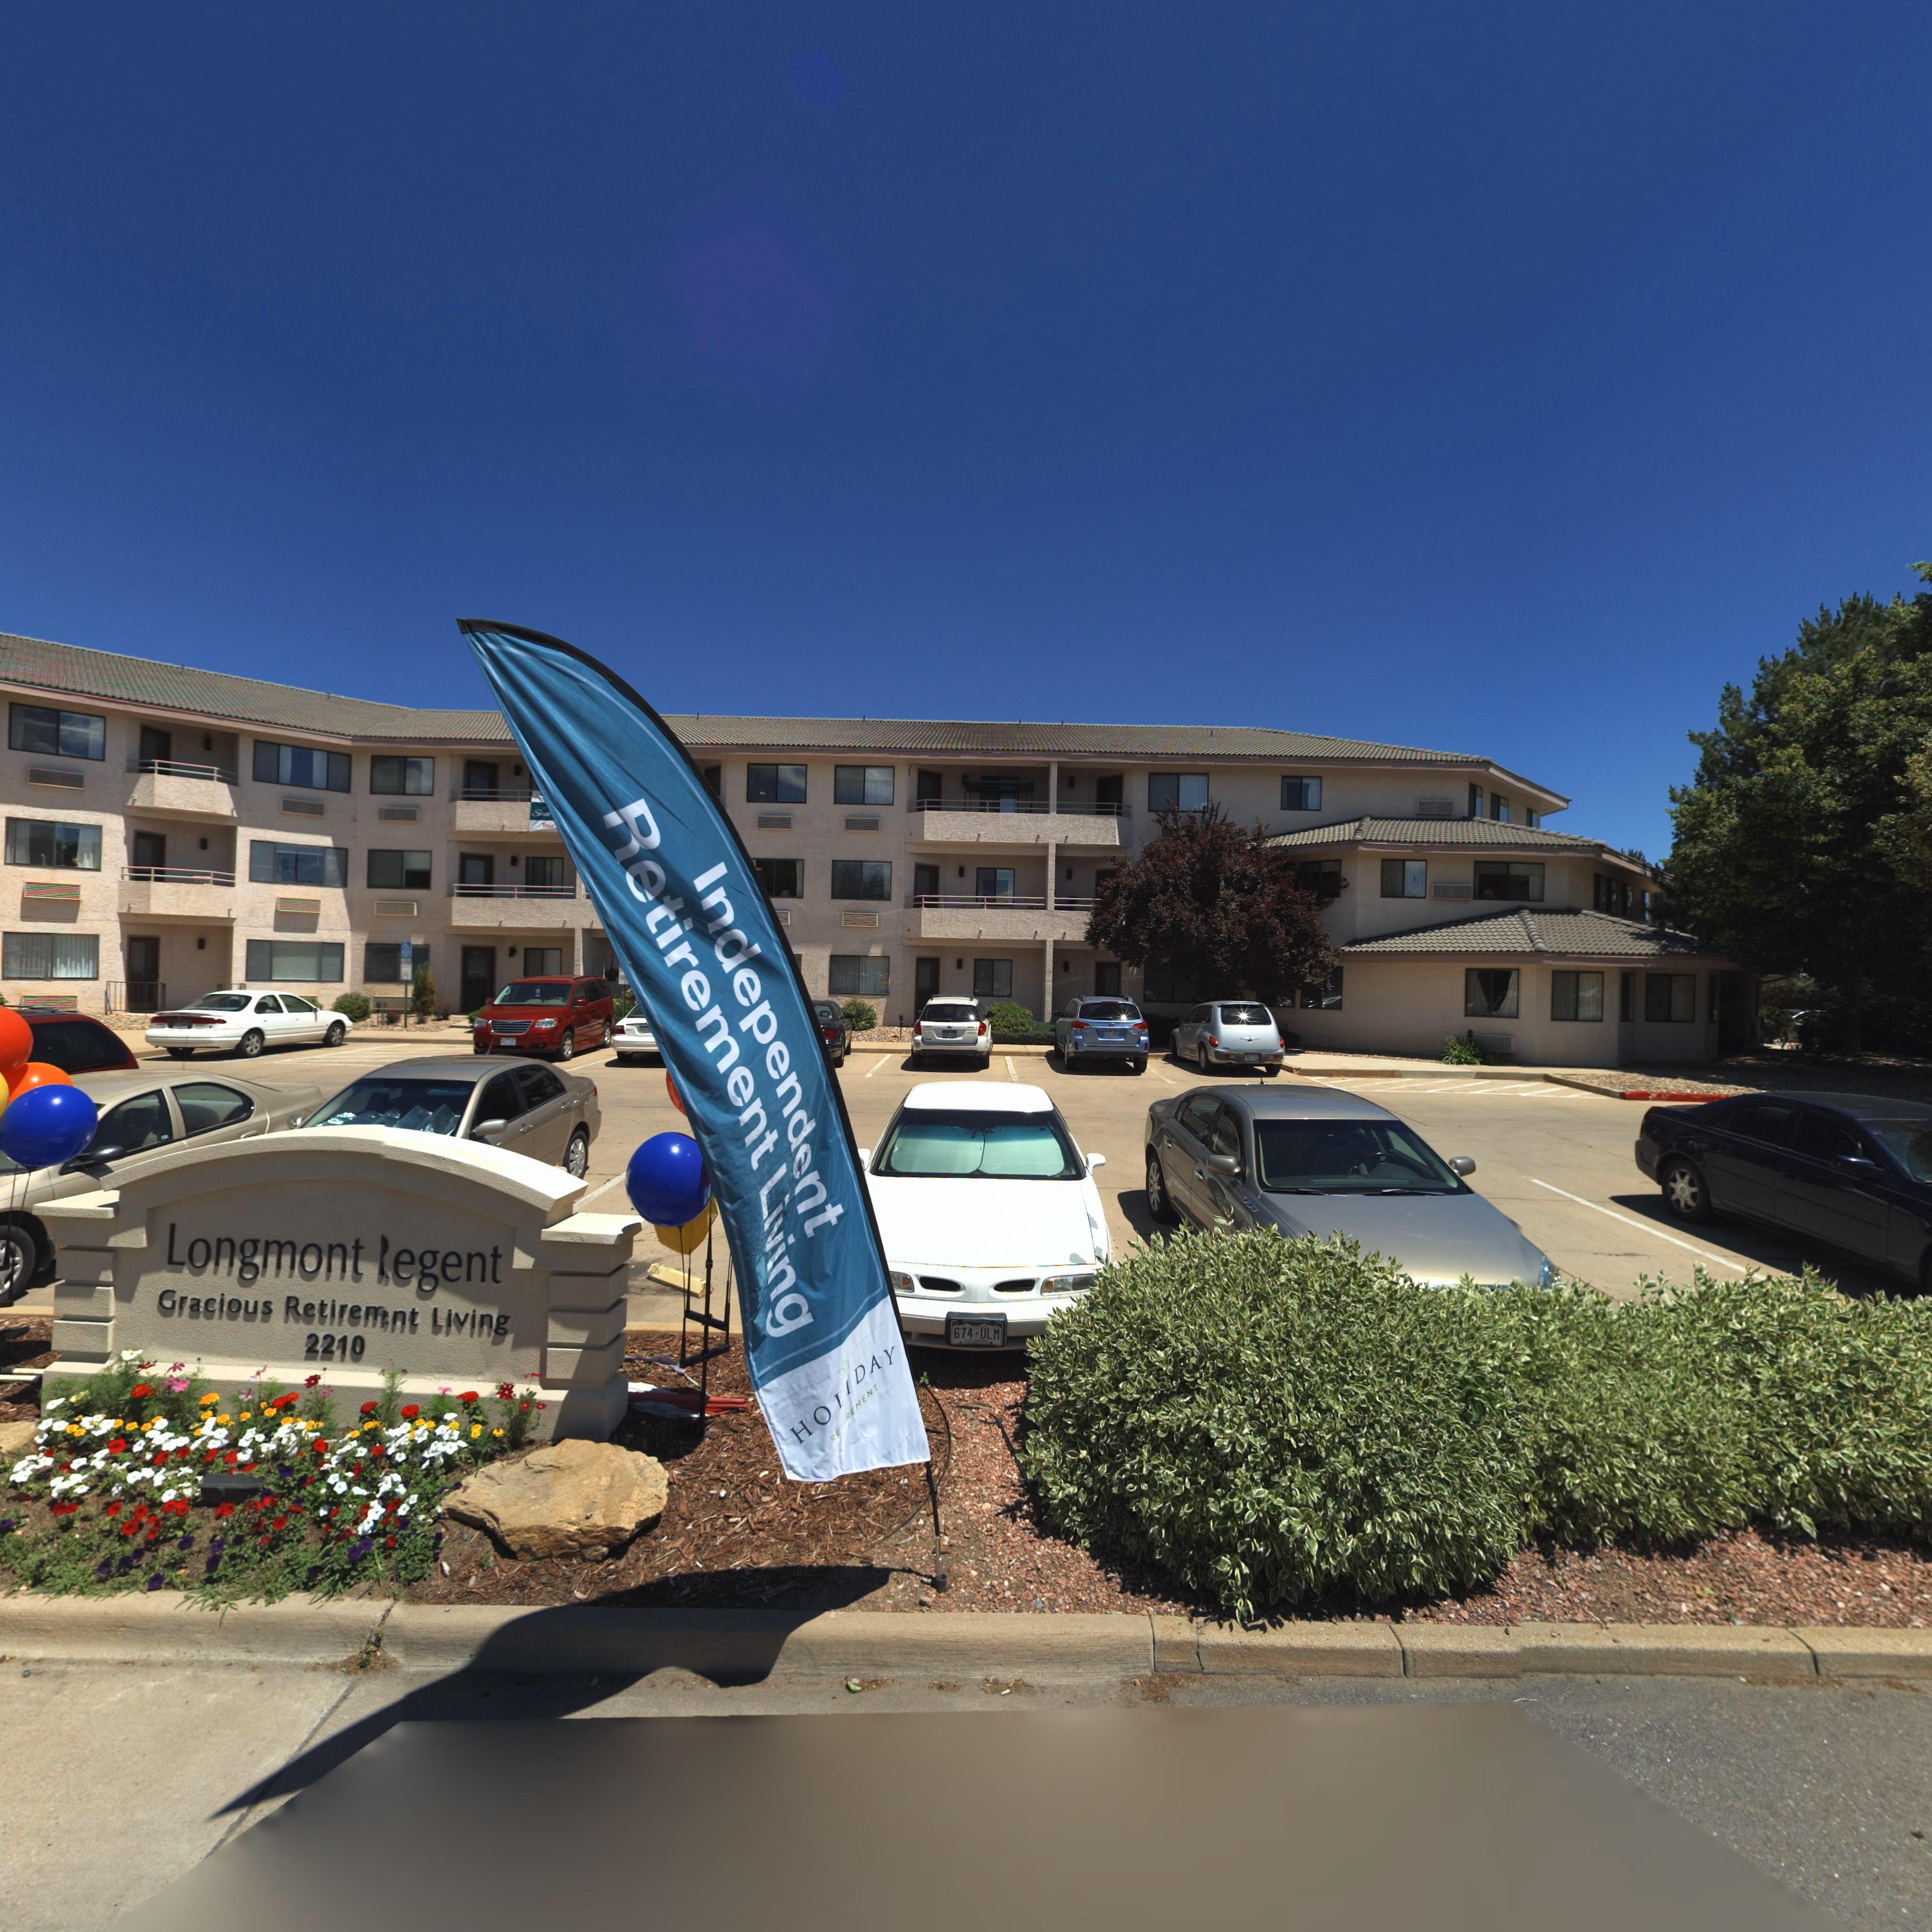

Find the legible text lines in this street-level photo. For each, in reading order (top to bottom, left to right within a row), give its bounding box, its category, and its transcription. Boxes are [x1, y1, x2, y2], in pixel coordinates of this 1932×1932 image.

[164, 1219, 505, 1294] BusinessName: Longmont *egent
[305, 1332, 366, 1355] StreetNumber: 2210